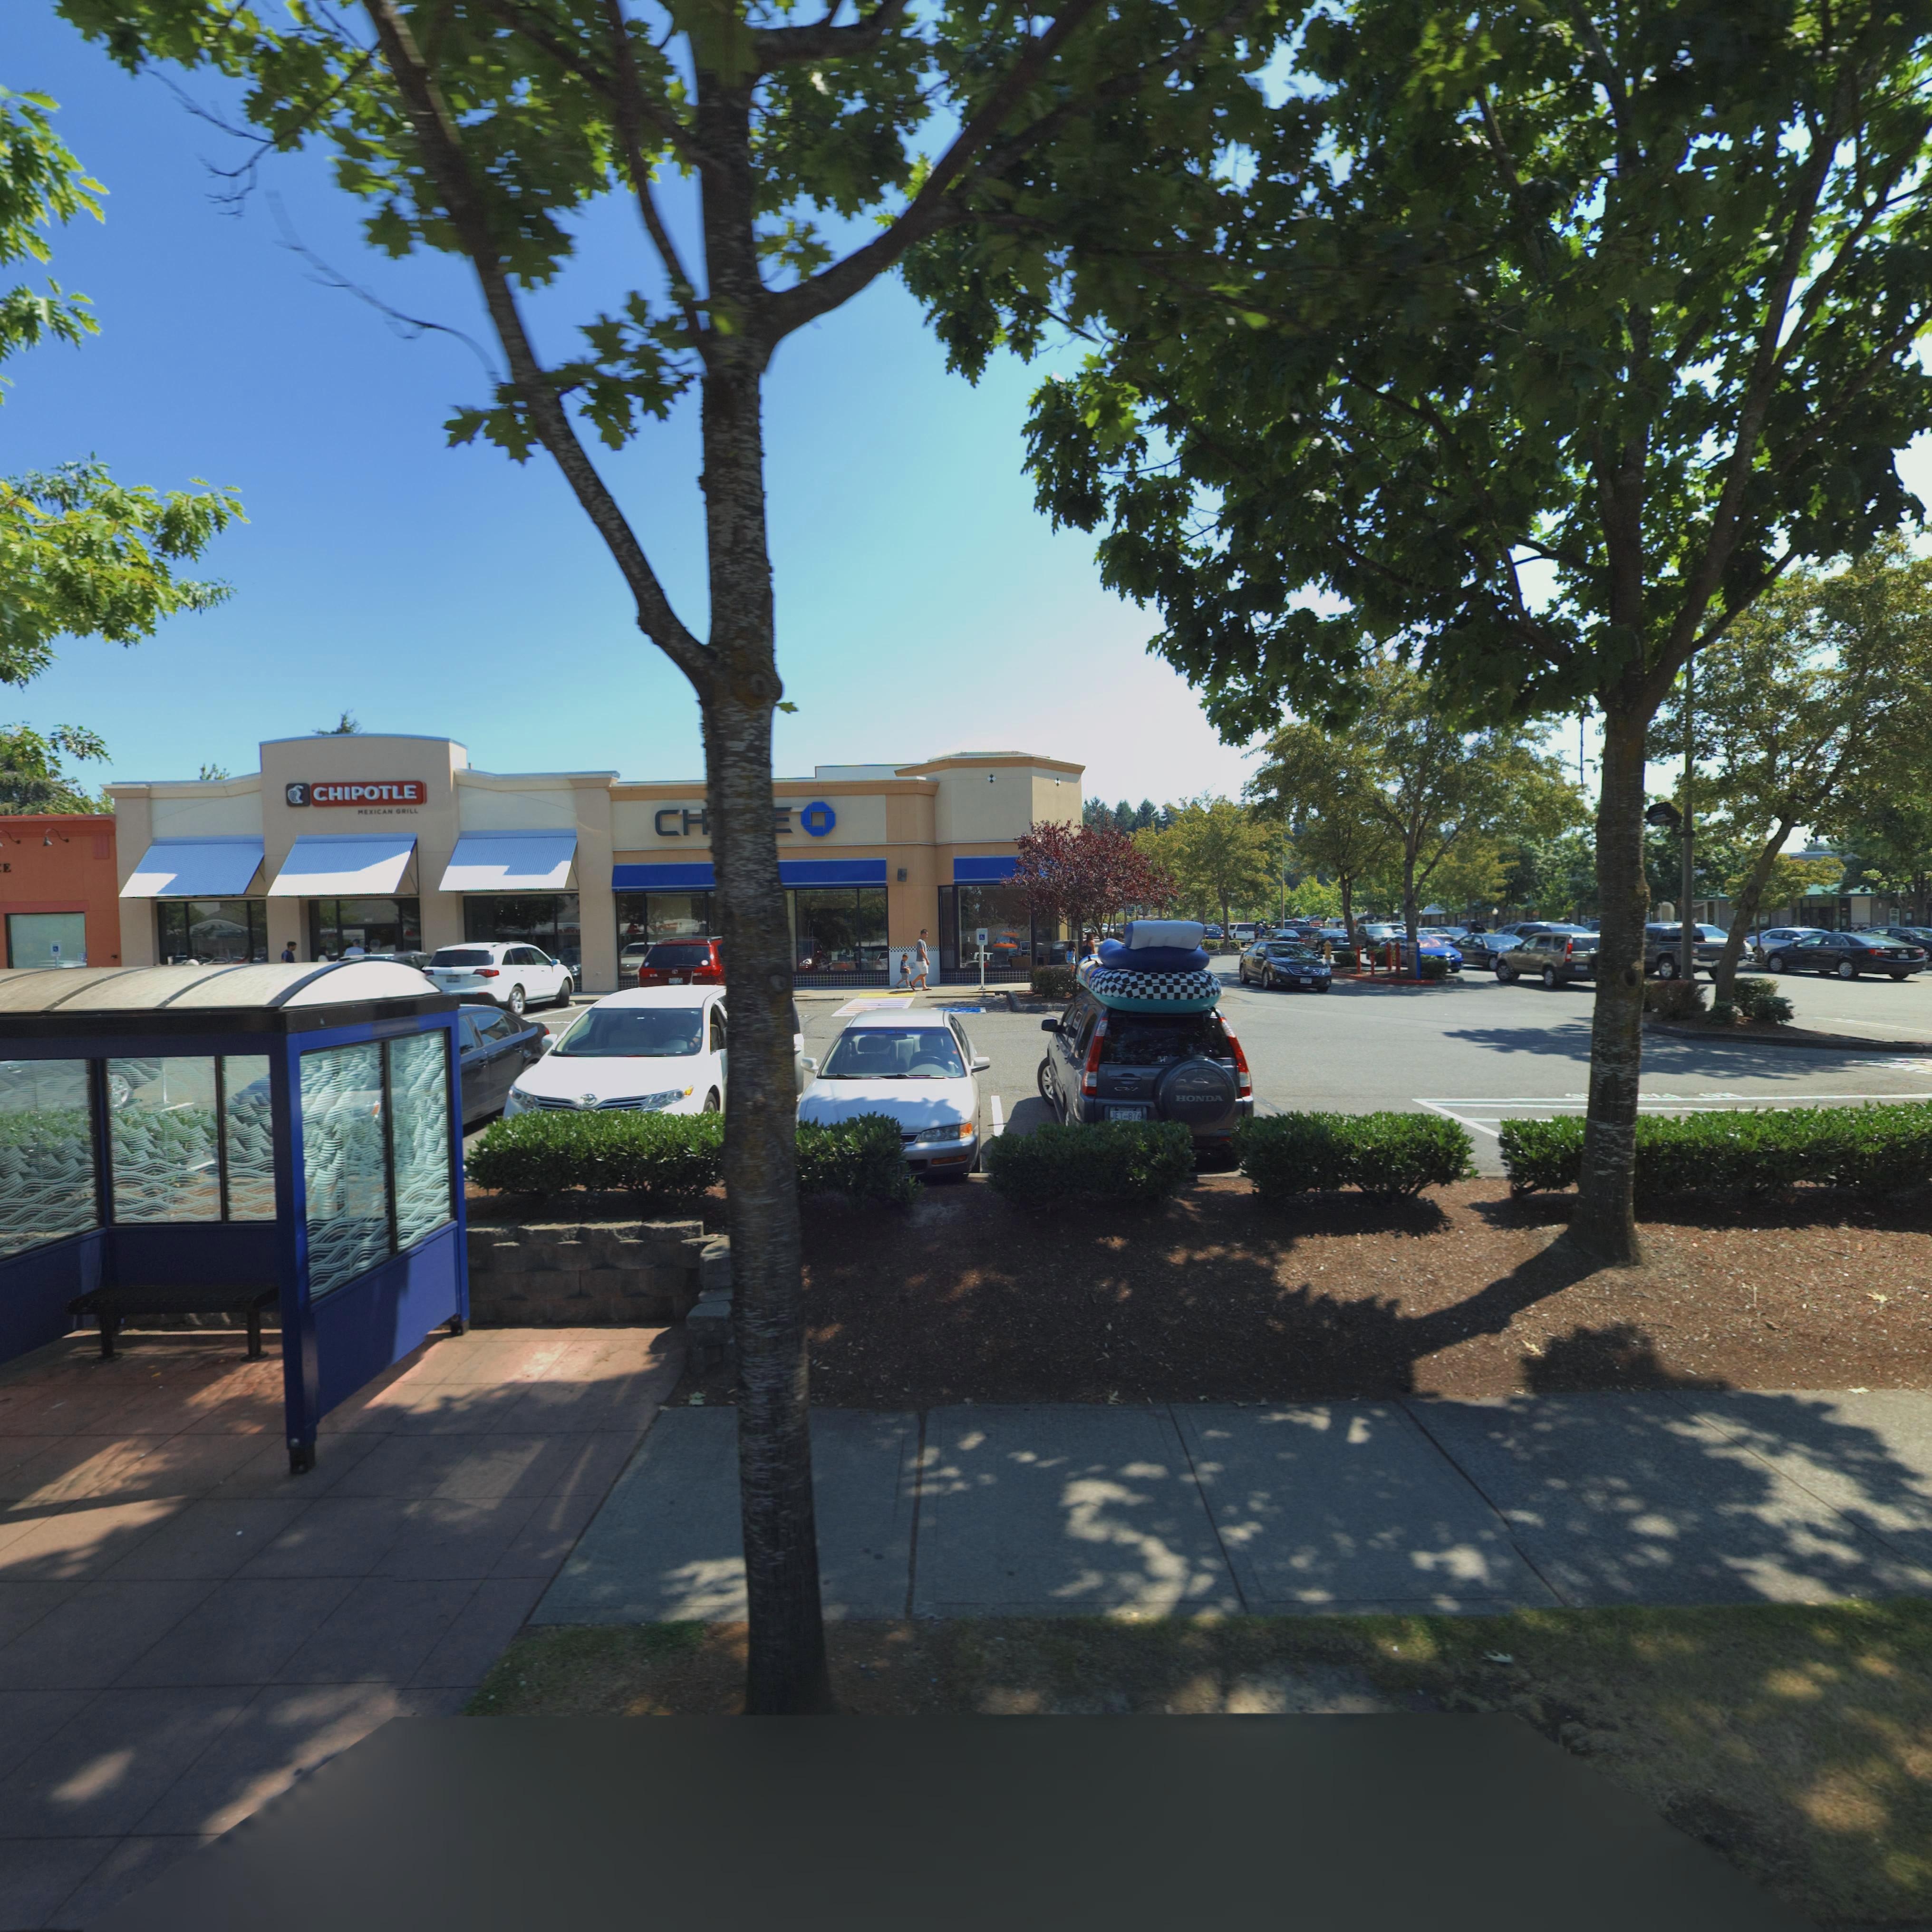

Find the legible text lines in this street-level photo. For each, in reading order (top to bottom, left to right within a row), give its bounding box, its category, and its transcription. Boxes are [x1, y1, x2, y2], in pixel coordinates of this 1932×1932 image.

[312, 785, 418, 801] BusinessName: CHIPOTLE
[653, 803, 710, 838] BusinessName: CH